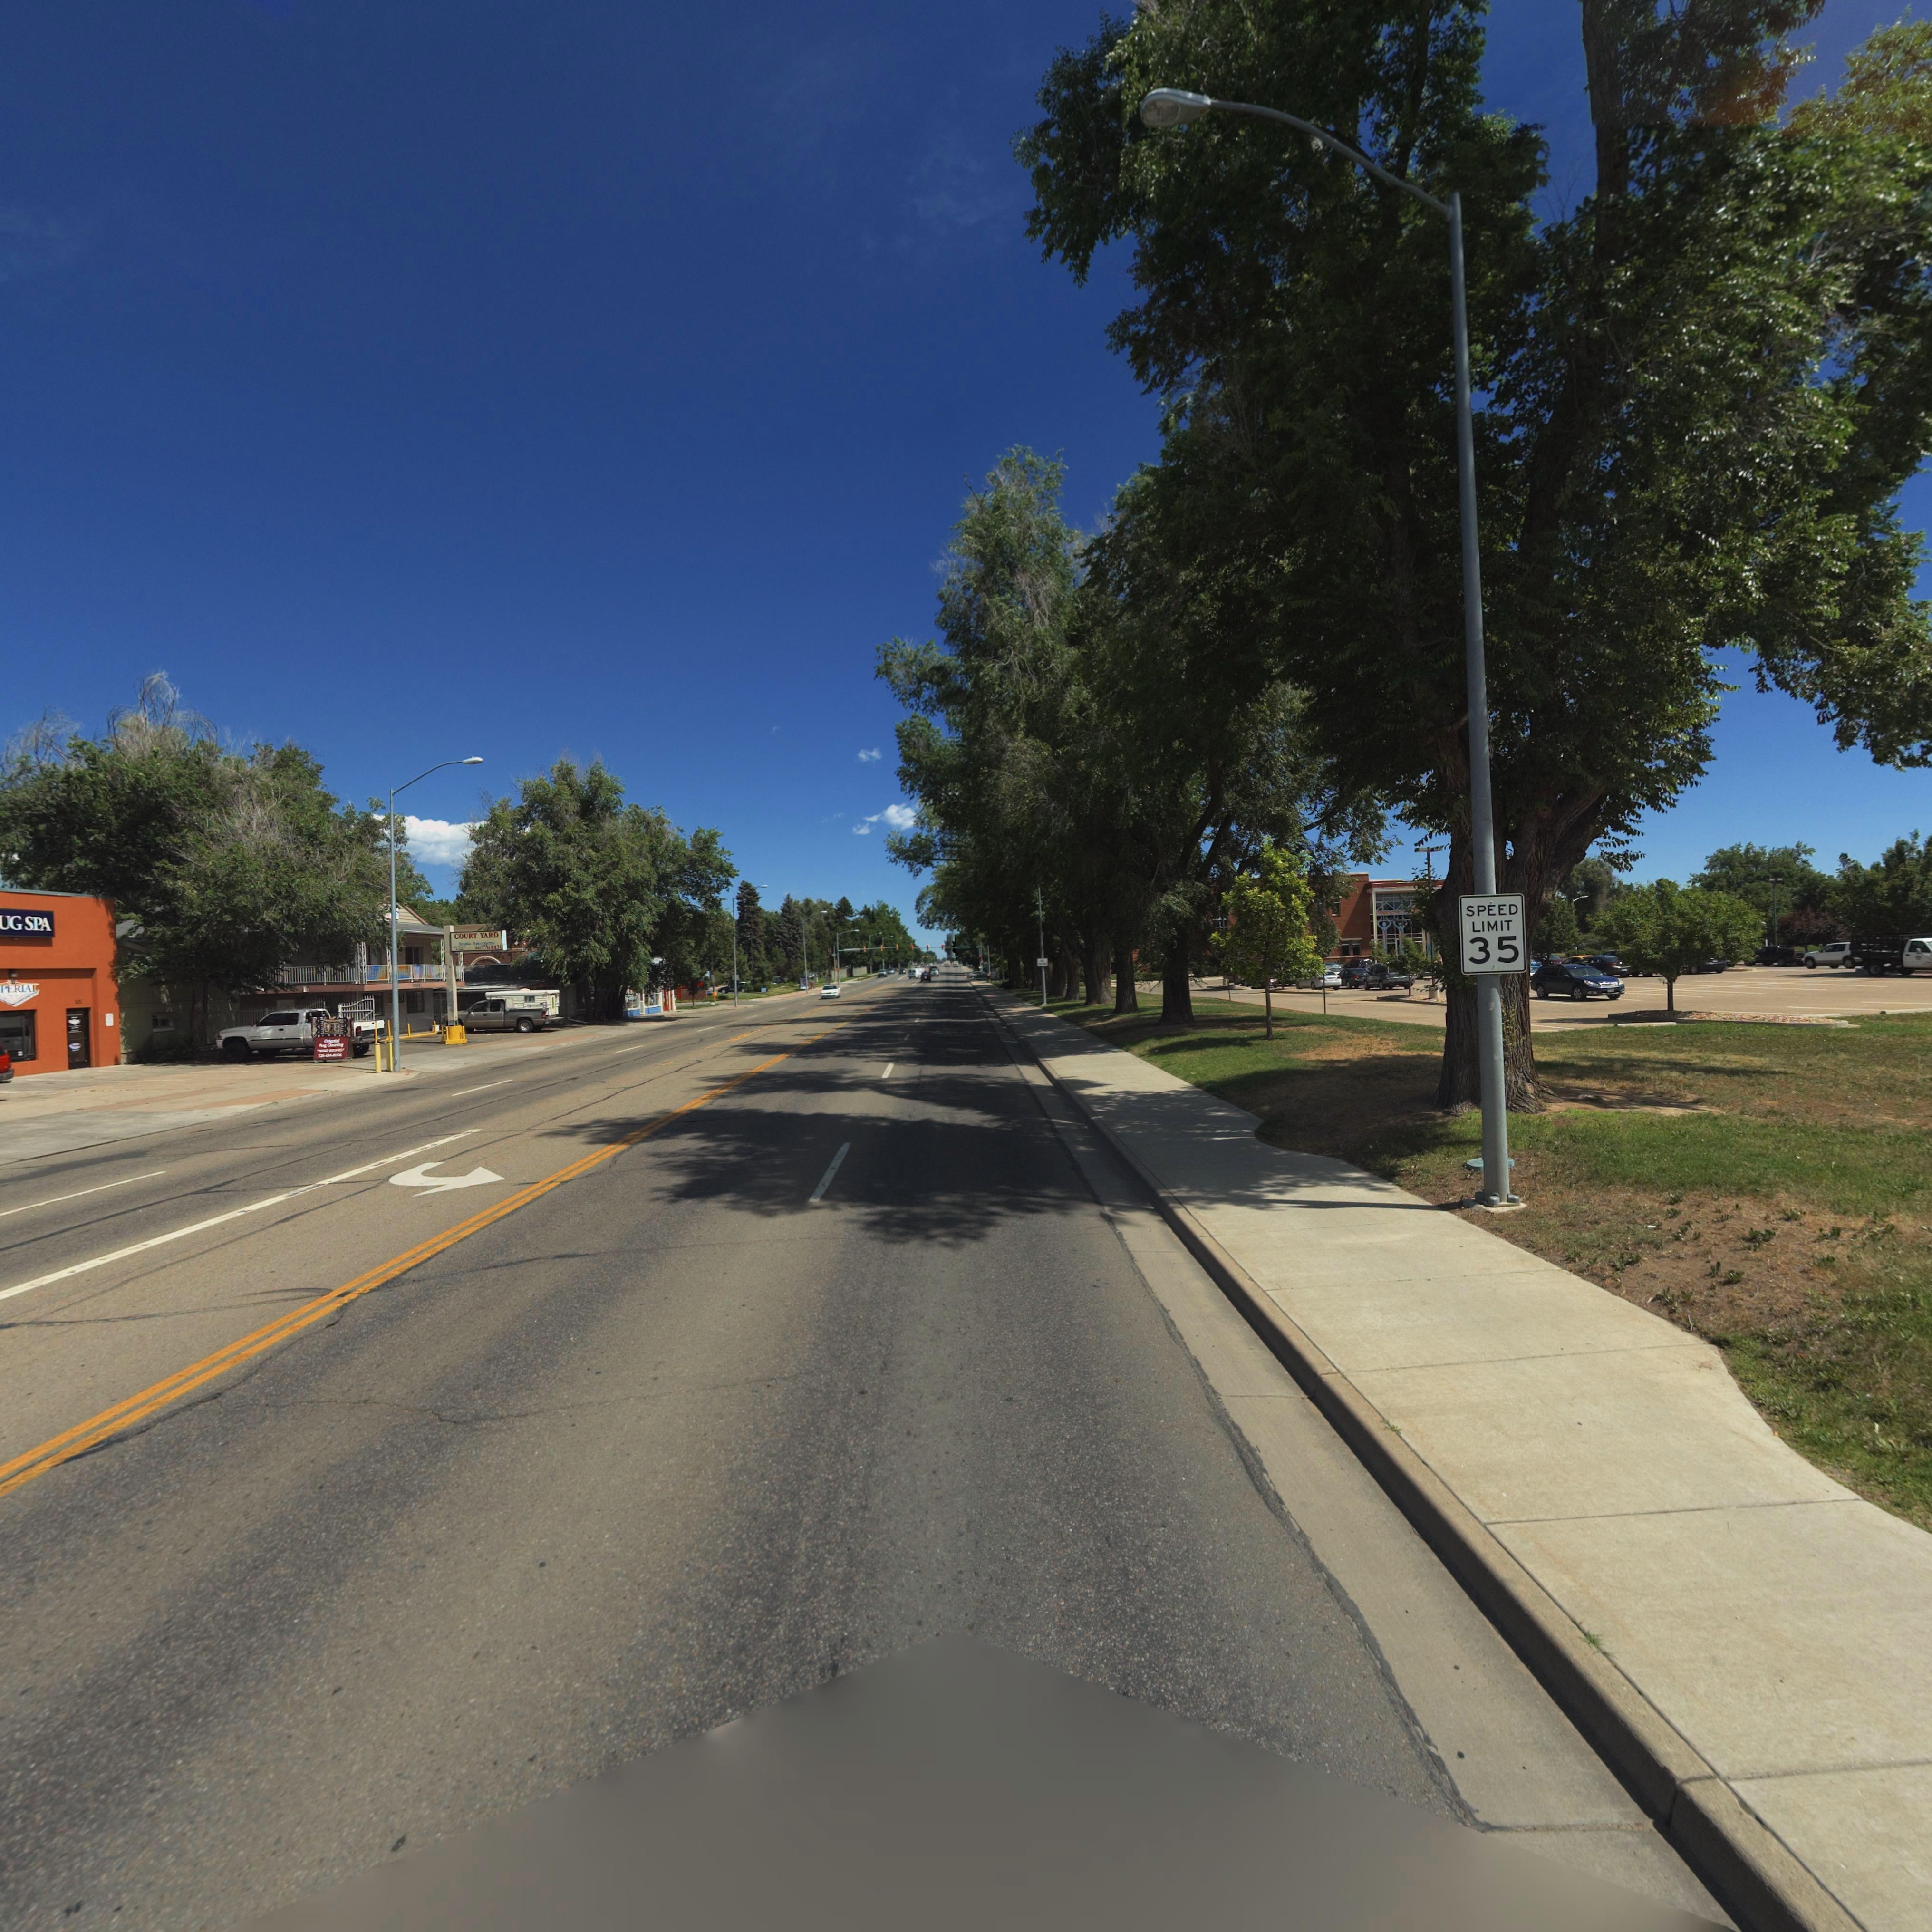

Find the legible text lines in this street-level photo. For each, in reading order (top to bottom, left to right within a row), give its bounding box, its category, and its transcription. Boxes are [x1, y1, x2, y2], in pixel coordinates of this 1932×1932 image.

[9, 915, 52, 931] BusinessName: G SPA
[454, 931, 499, 939] BusinessName: COURT YARD